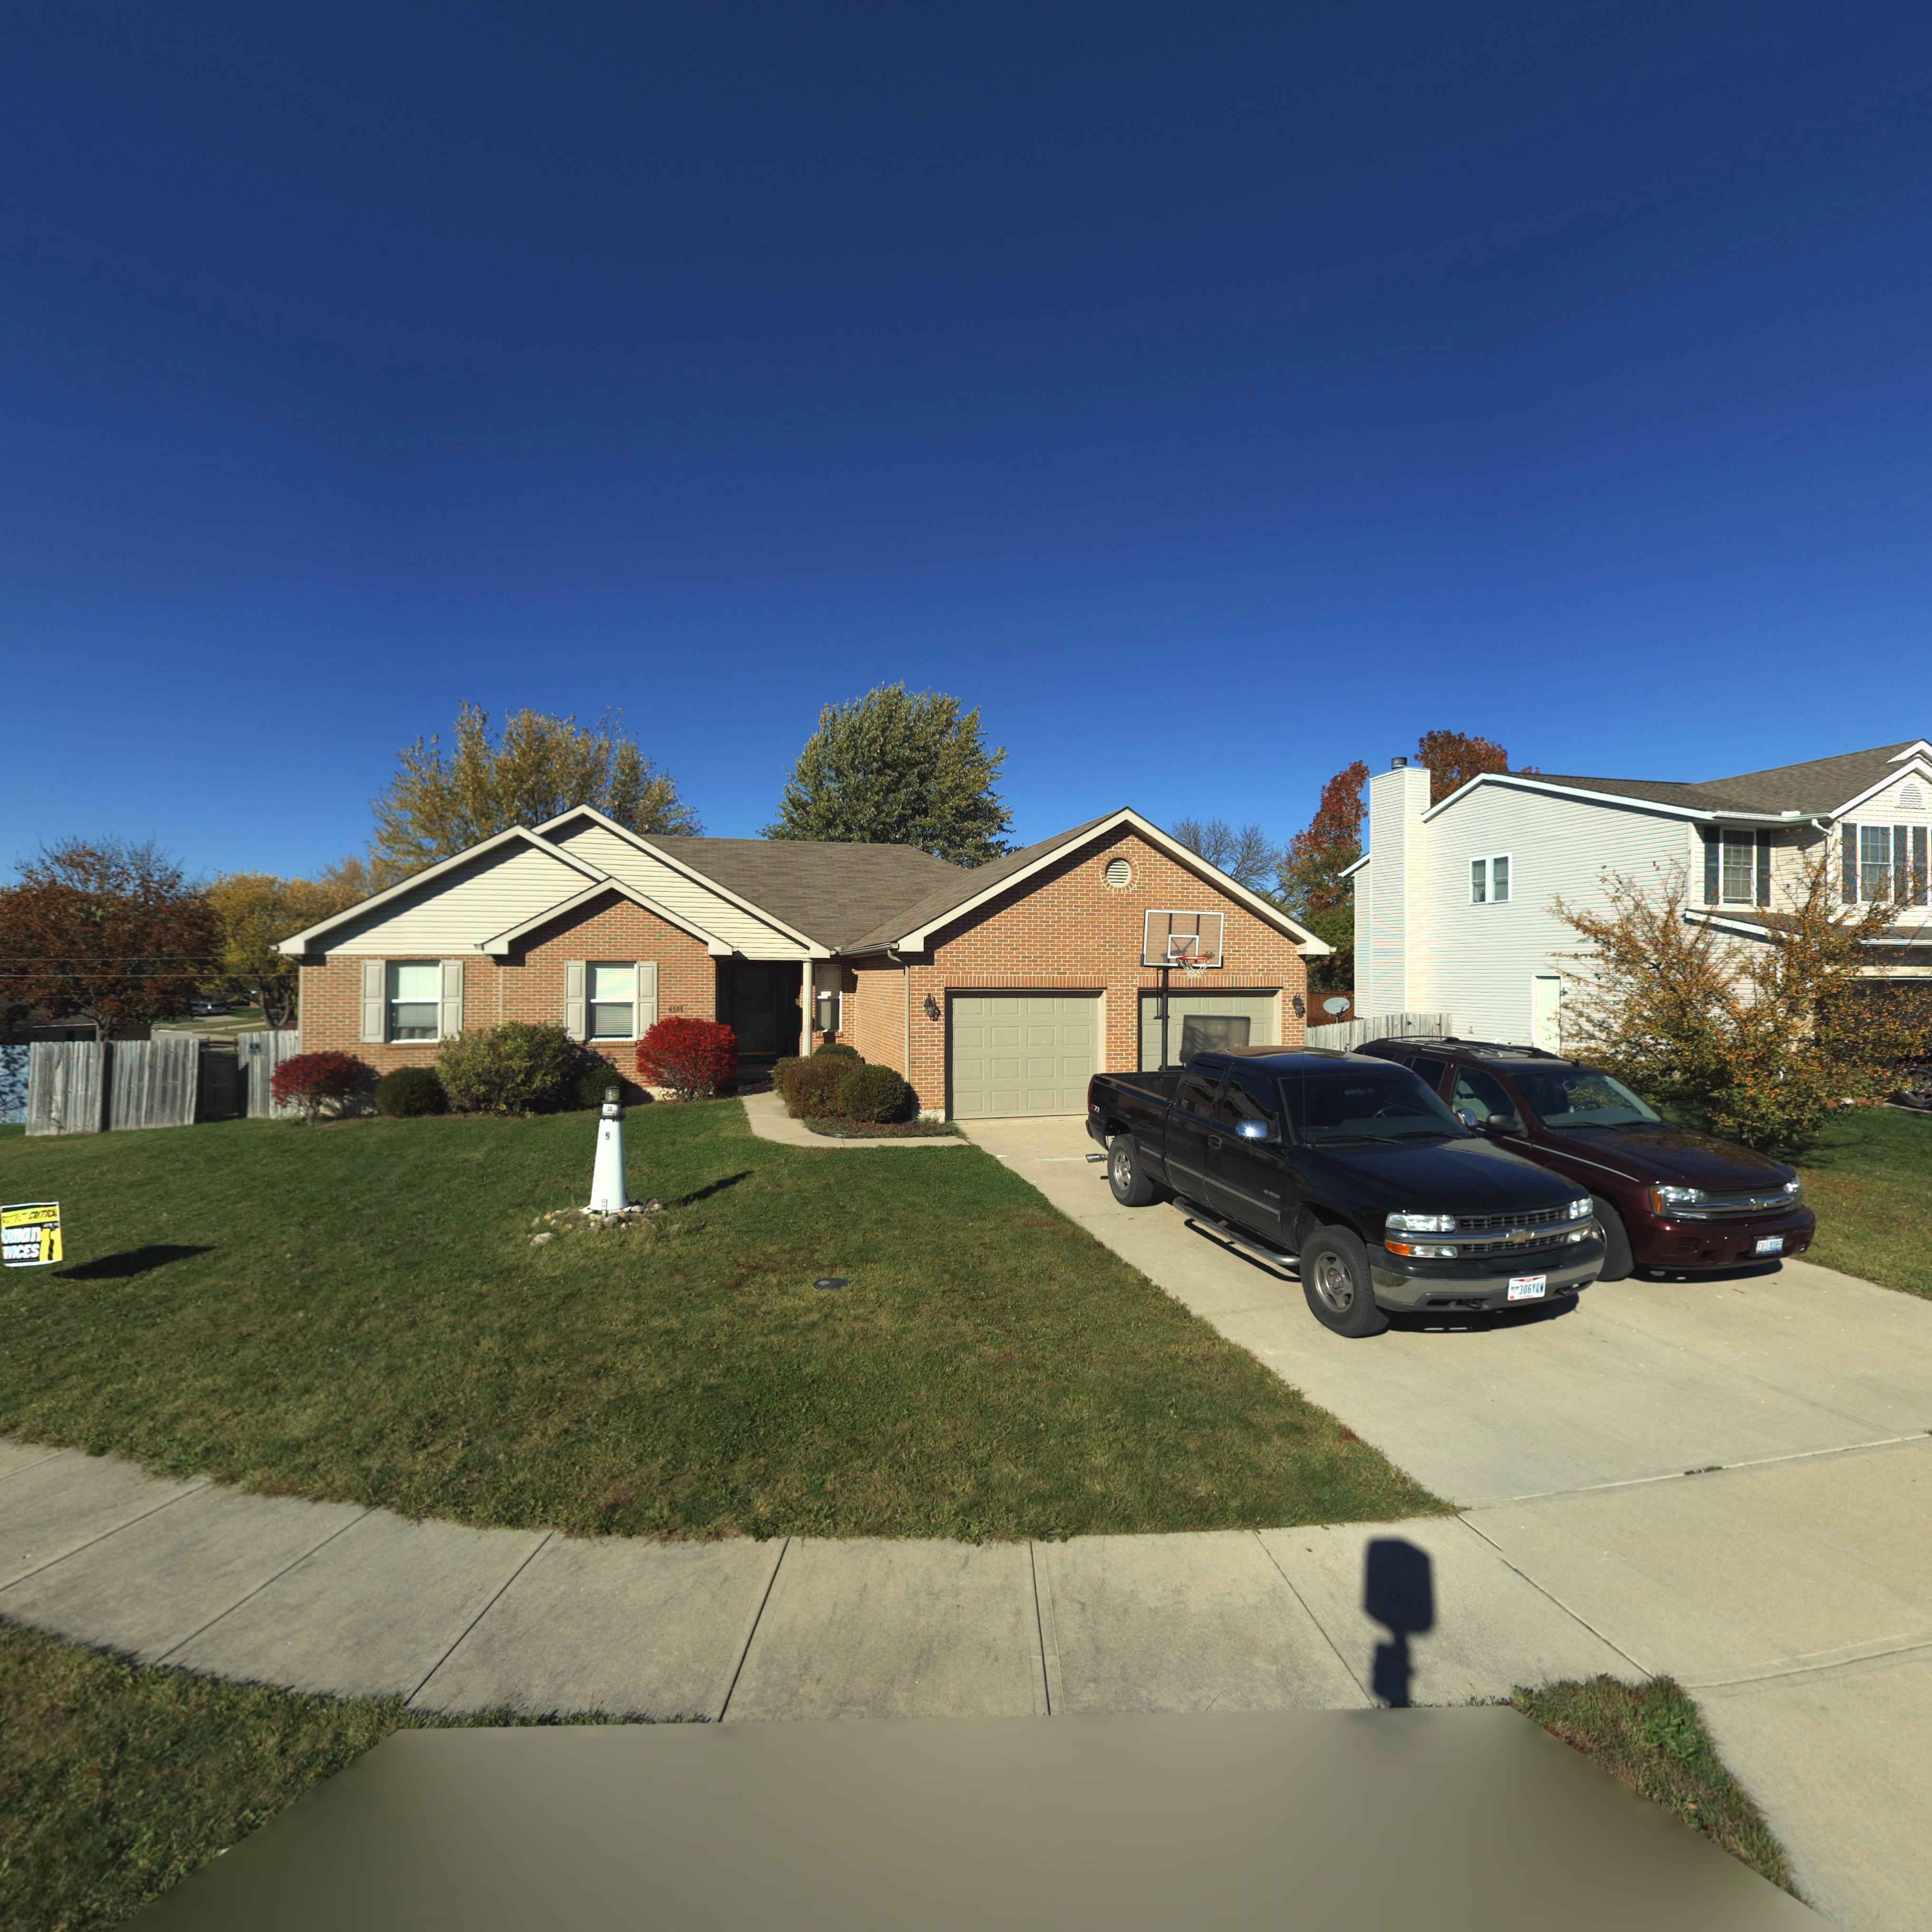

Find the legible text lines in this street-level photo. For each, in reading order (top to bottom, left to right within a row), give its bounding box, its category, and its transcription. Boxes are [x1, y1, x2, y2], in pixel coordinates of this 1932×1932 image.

[667, 1005, 685, 1013] StreetNumber: 4535
[3, 1226, 42, 1245] None: uman
[8, 1242, 41, 1260] None: VICES
[38, 1227, 63, 1262] None: 11
[1757, 1238, 1783, 1251] None: E***4086
[1518, 1281, 1546, 1296] None: 306YQW